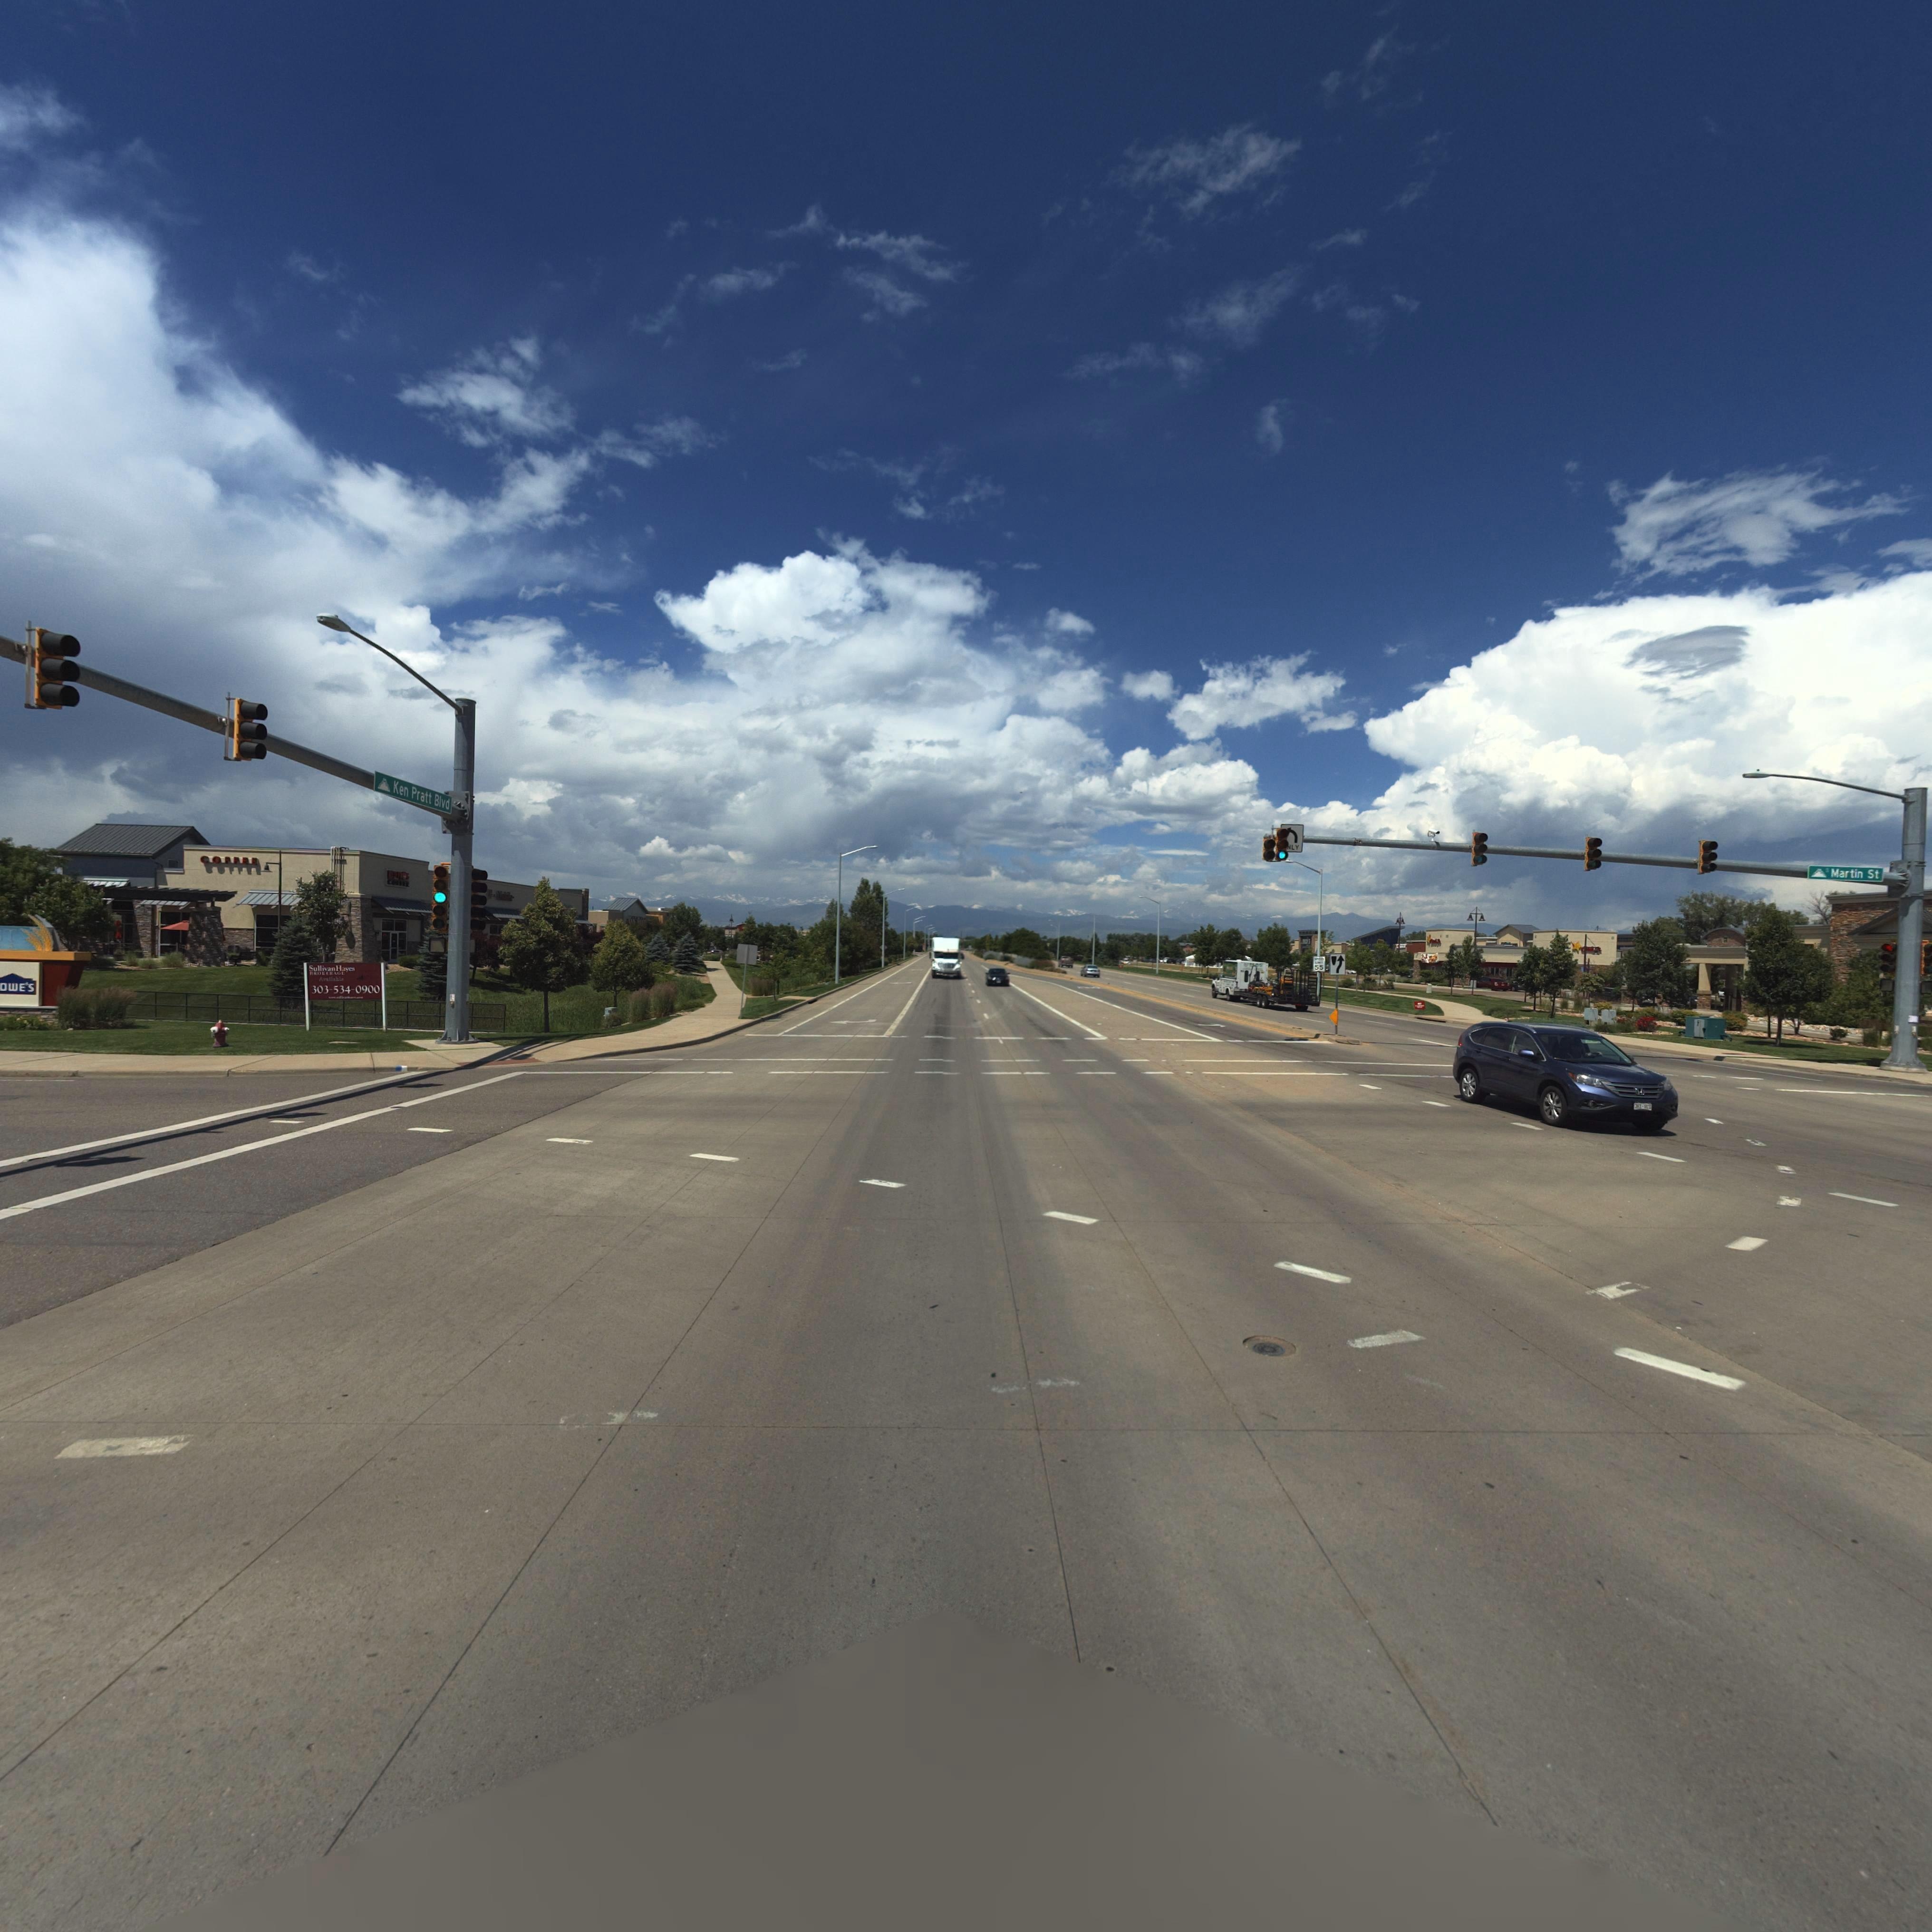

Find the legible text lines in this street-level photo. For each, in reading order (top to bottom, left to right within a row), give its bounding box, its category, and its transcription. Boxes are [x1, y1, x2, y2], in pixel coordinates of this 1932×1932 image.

[393, 779, 450, 811] StreetName: Ken Pratt Blvd
[387, 869, 409, 879] BusinessName: RE* FROG
[1830, 867, 1880, 879] StreetName: Martin St
[386, 879, 409, 887] BusinessName: COFFEE
[486, 888, 513, 902] BusinessName: T Mob*le
[1302, 938, 1311, 944] BusinessName: **C**
[0, 982, 34, 992] BusinessName: OWE'S
[311, 984, 380, 995] PhoneNumber: 303-534-0900